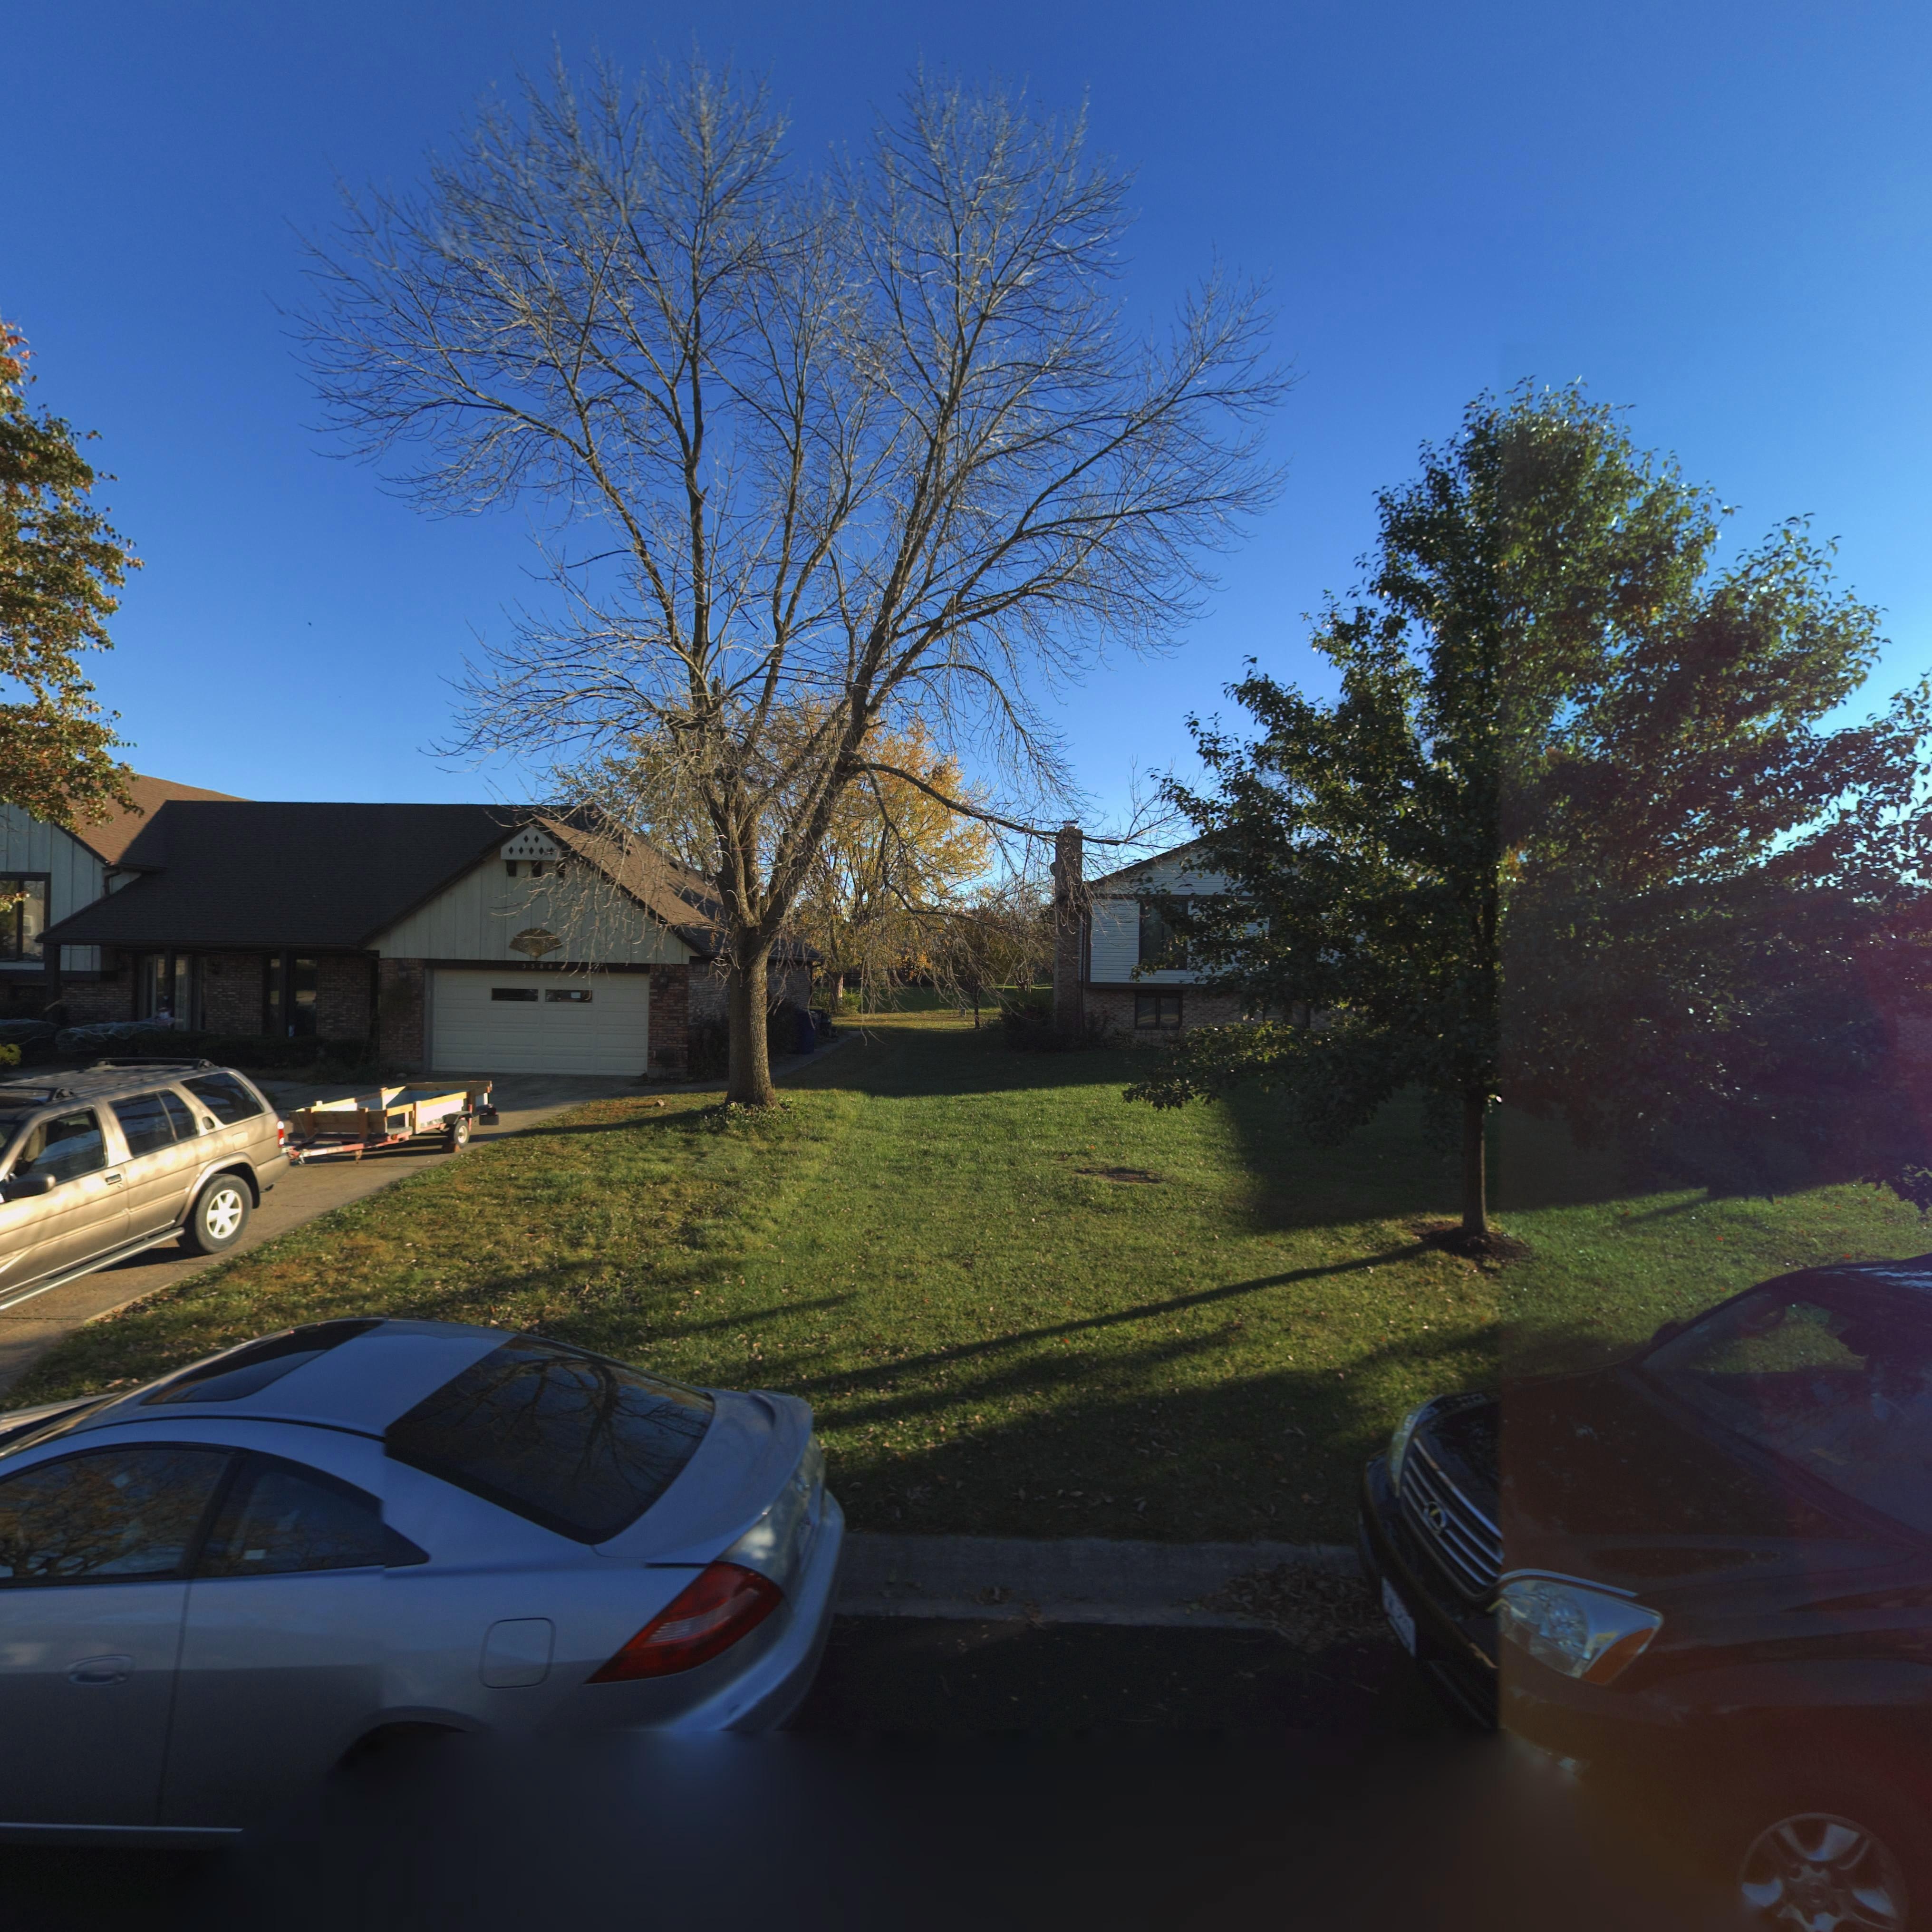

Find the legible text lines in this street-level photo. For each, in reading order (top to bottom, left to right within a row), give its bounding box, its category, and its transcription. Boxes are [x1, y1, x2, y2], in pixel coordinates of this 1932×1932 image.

[522, 963, 553, 970] StreetNumber: 5588